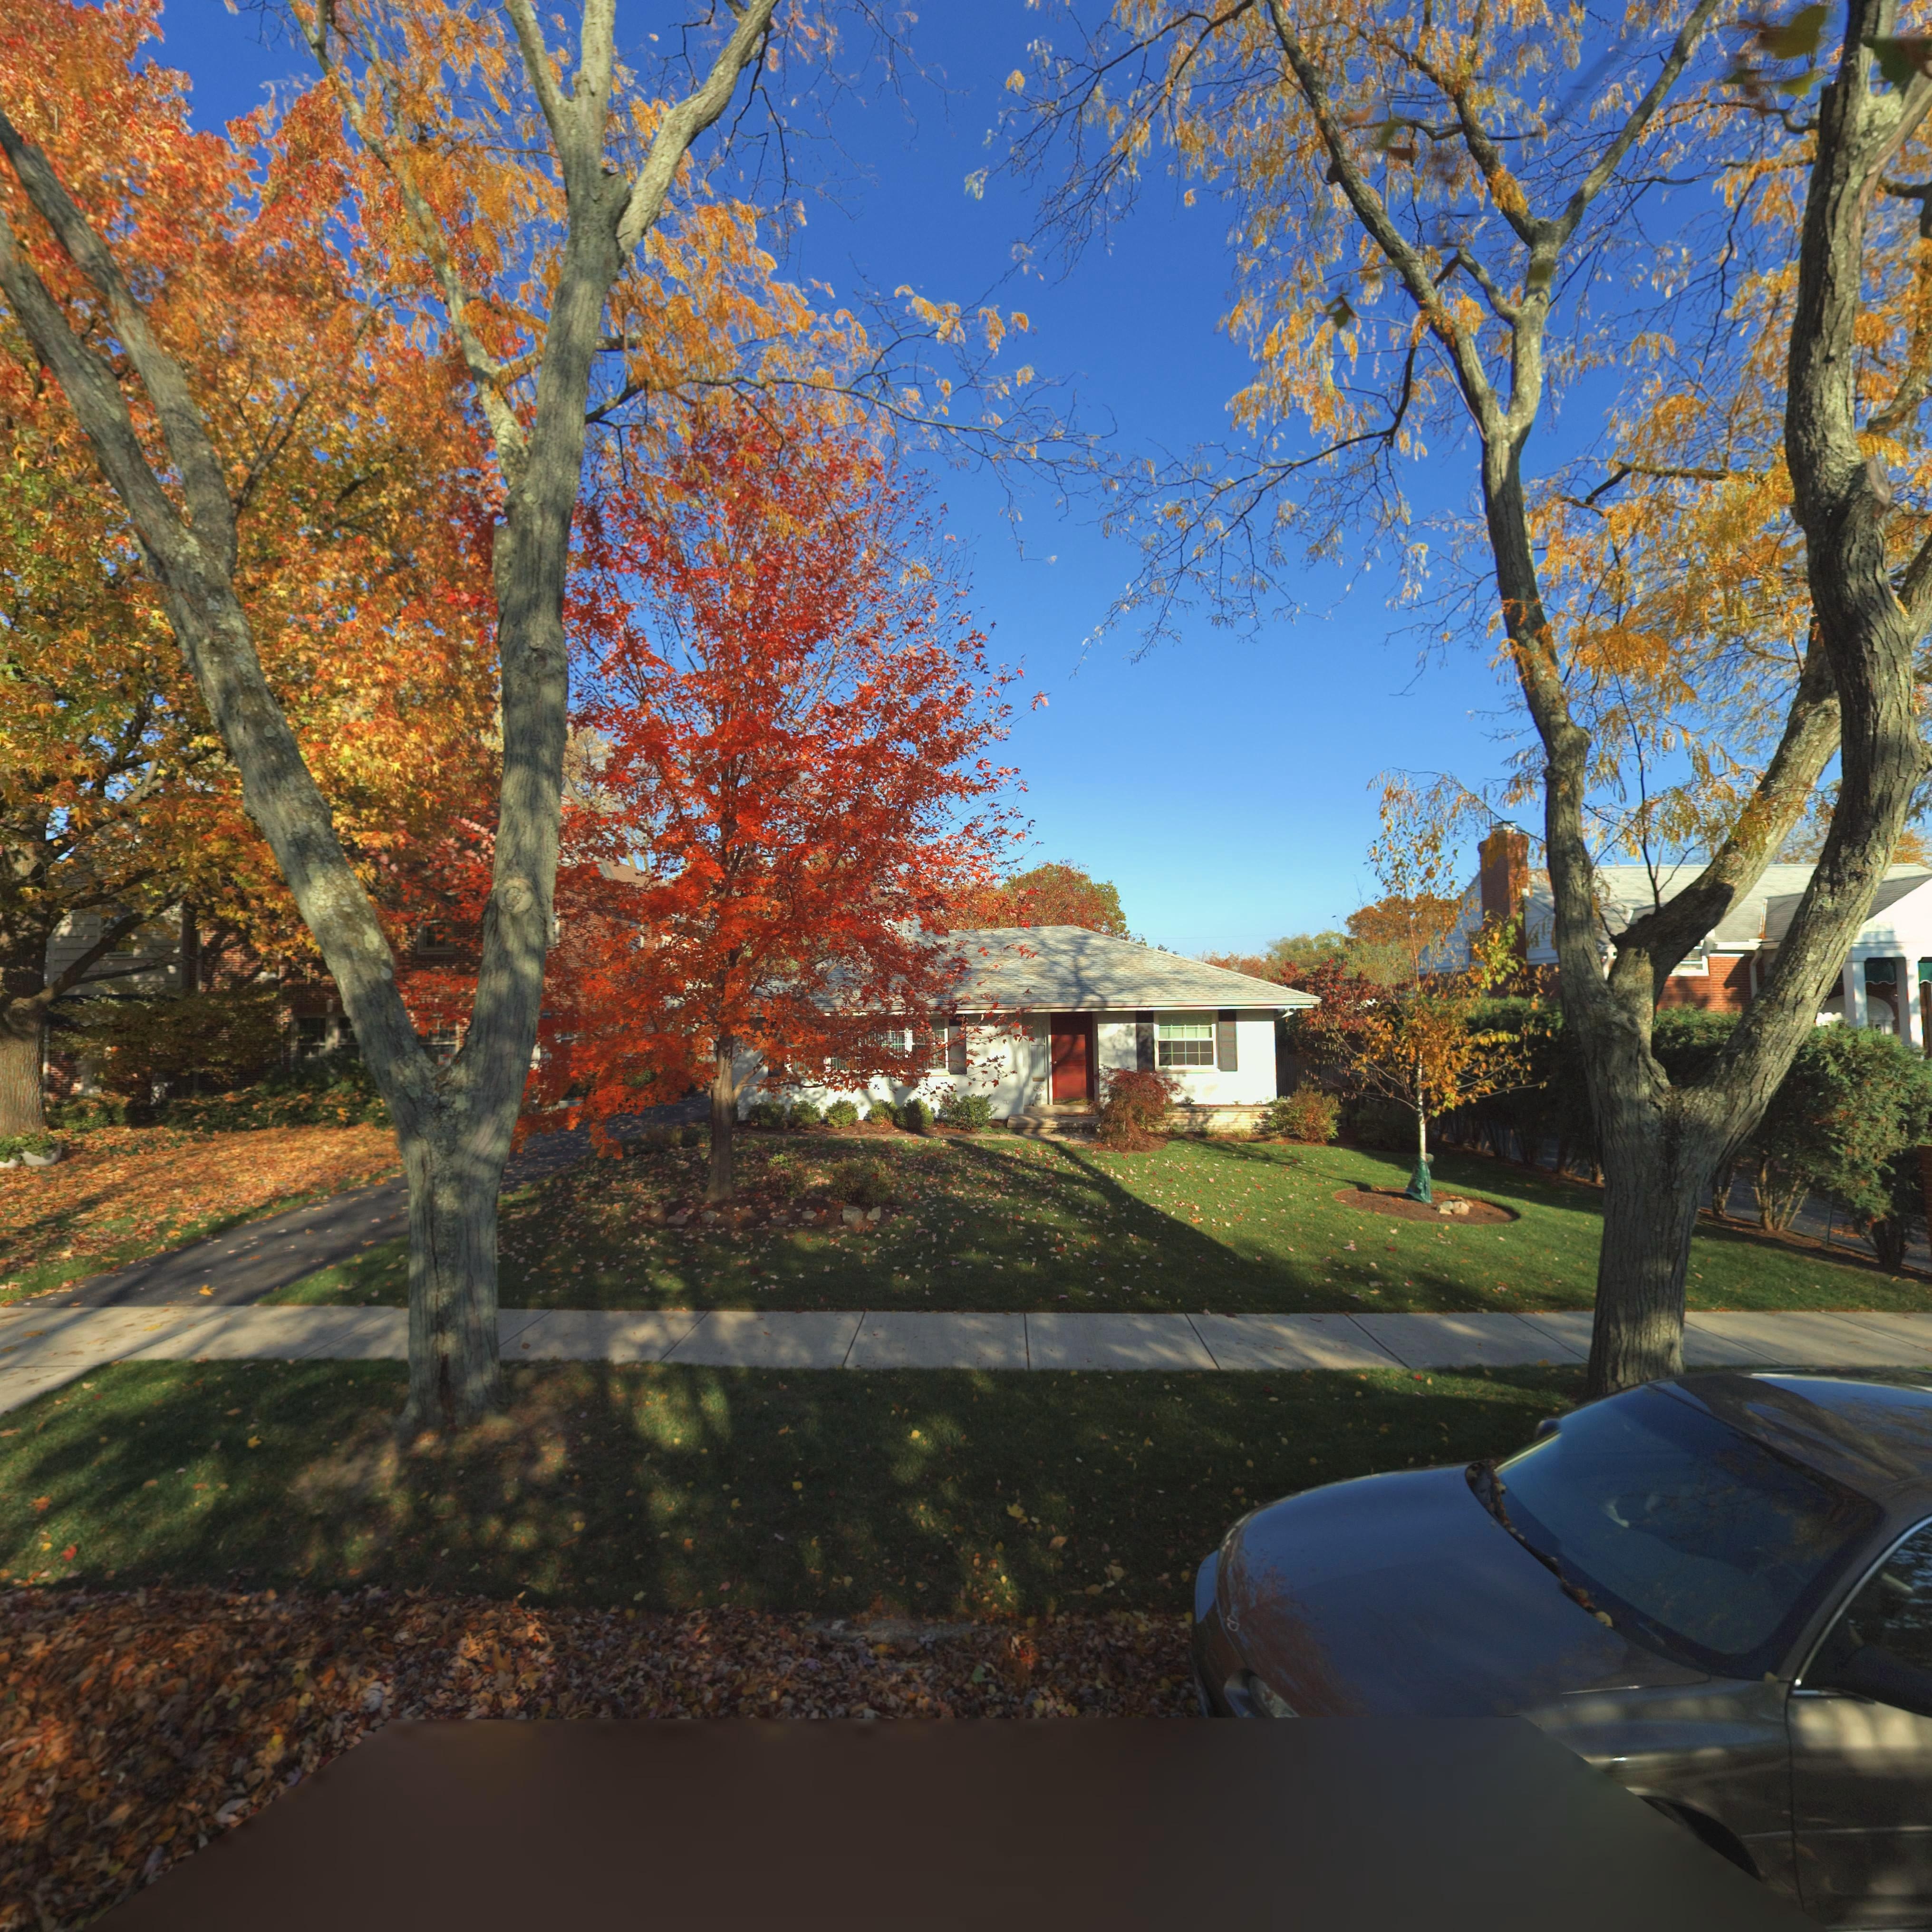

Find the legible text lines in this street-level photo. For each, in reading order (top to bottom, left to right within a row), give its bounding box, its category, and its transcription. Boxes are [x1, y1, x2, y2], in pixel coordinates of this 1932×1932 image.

[1035, 1086, 1043, 1091] StreetNumber: 560